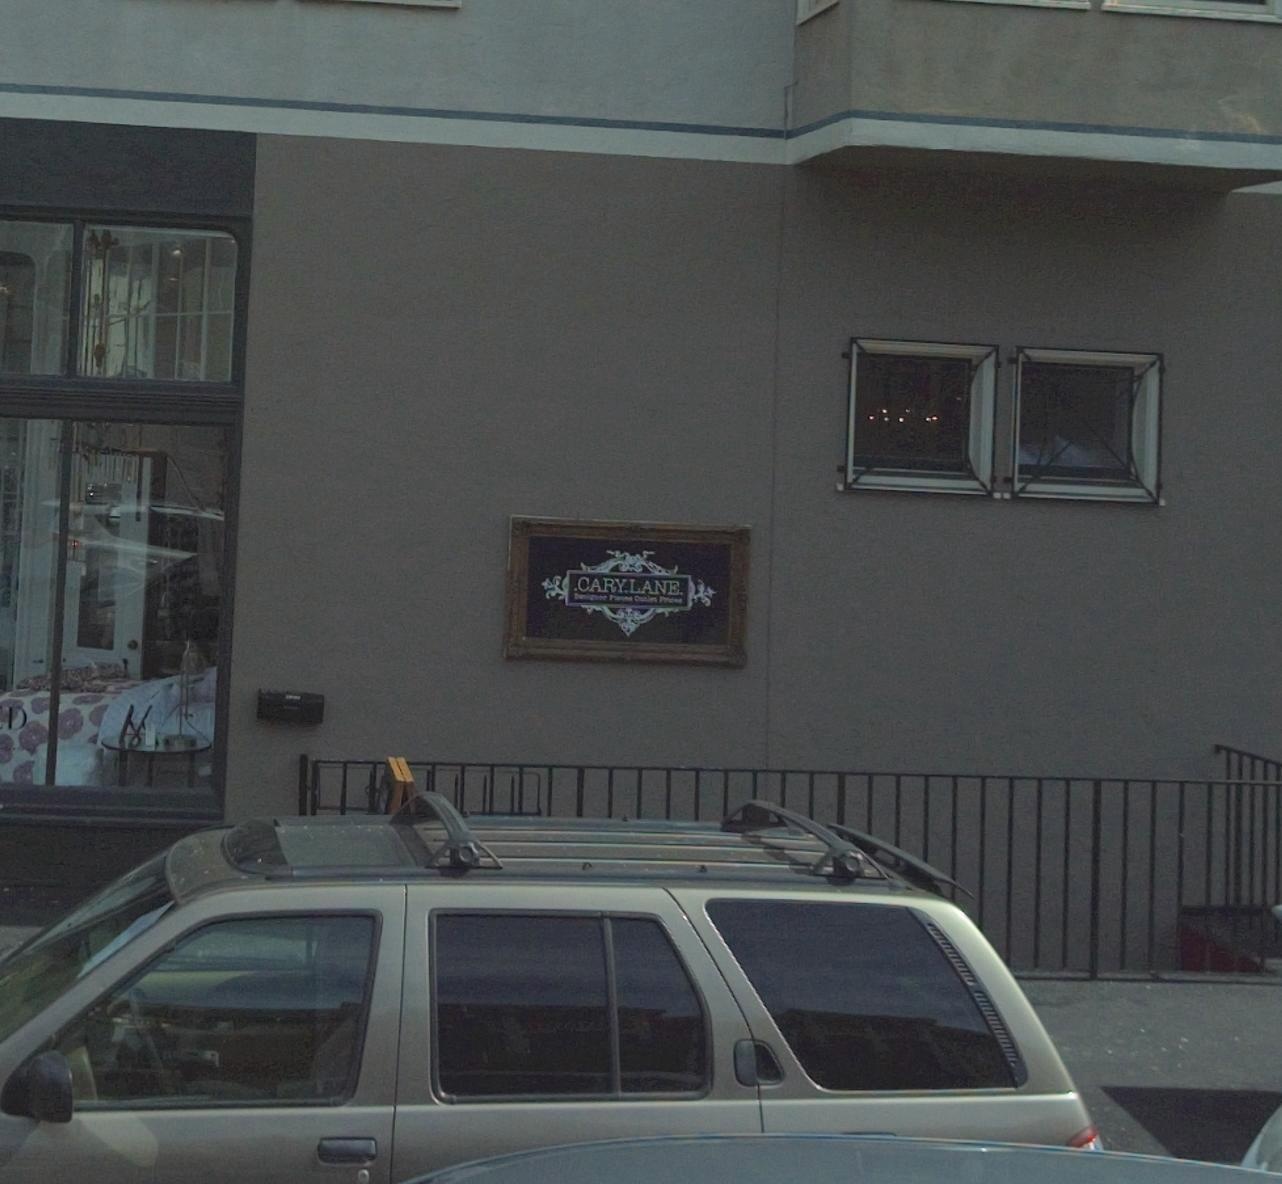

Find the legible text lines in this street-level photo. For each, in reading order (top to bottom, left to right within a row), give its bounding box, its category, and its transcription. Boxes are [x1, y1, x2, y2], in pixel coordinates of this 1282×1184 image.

[577, 575, 681, 597] BusinessName: CARY LANE
[3, 699, 31, 734] None: D